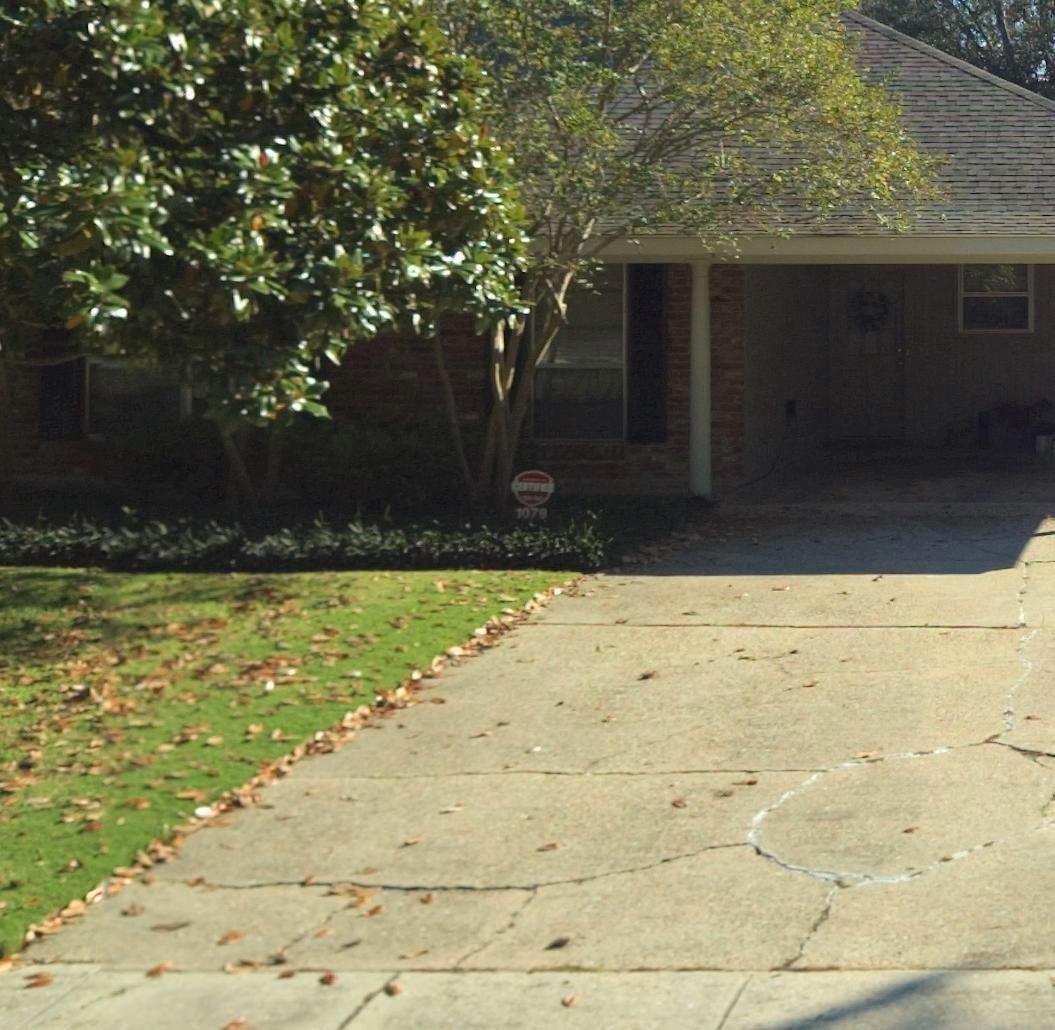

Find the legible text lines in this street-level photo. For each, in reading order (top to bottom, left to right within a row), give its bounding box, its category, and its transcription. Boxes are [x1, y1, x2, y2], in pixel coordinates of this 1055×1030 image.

[513, 506, 550, 522] StreetNumber: 1079